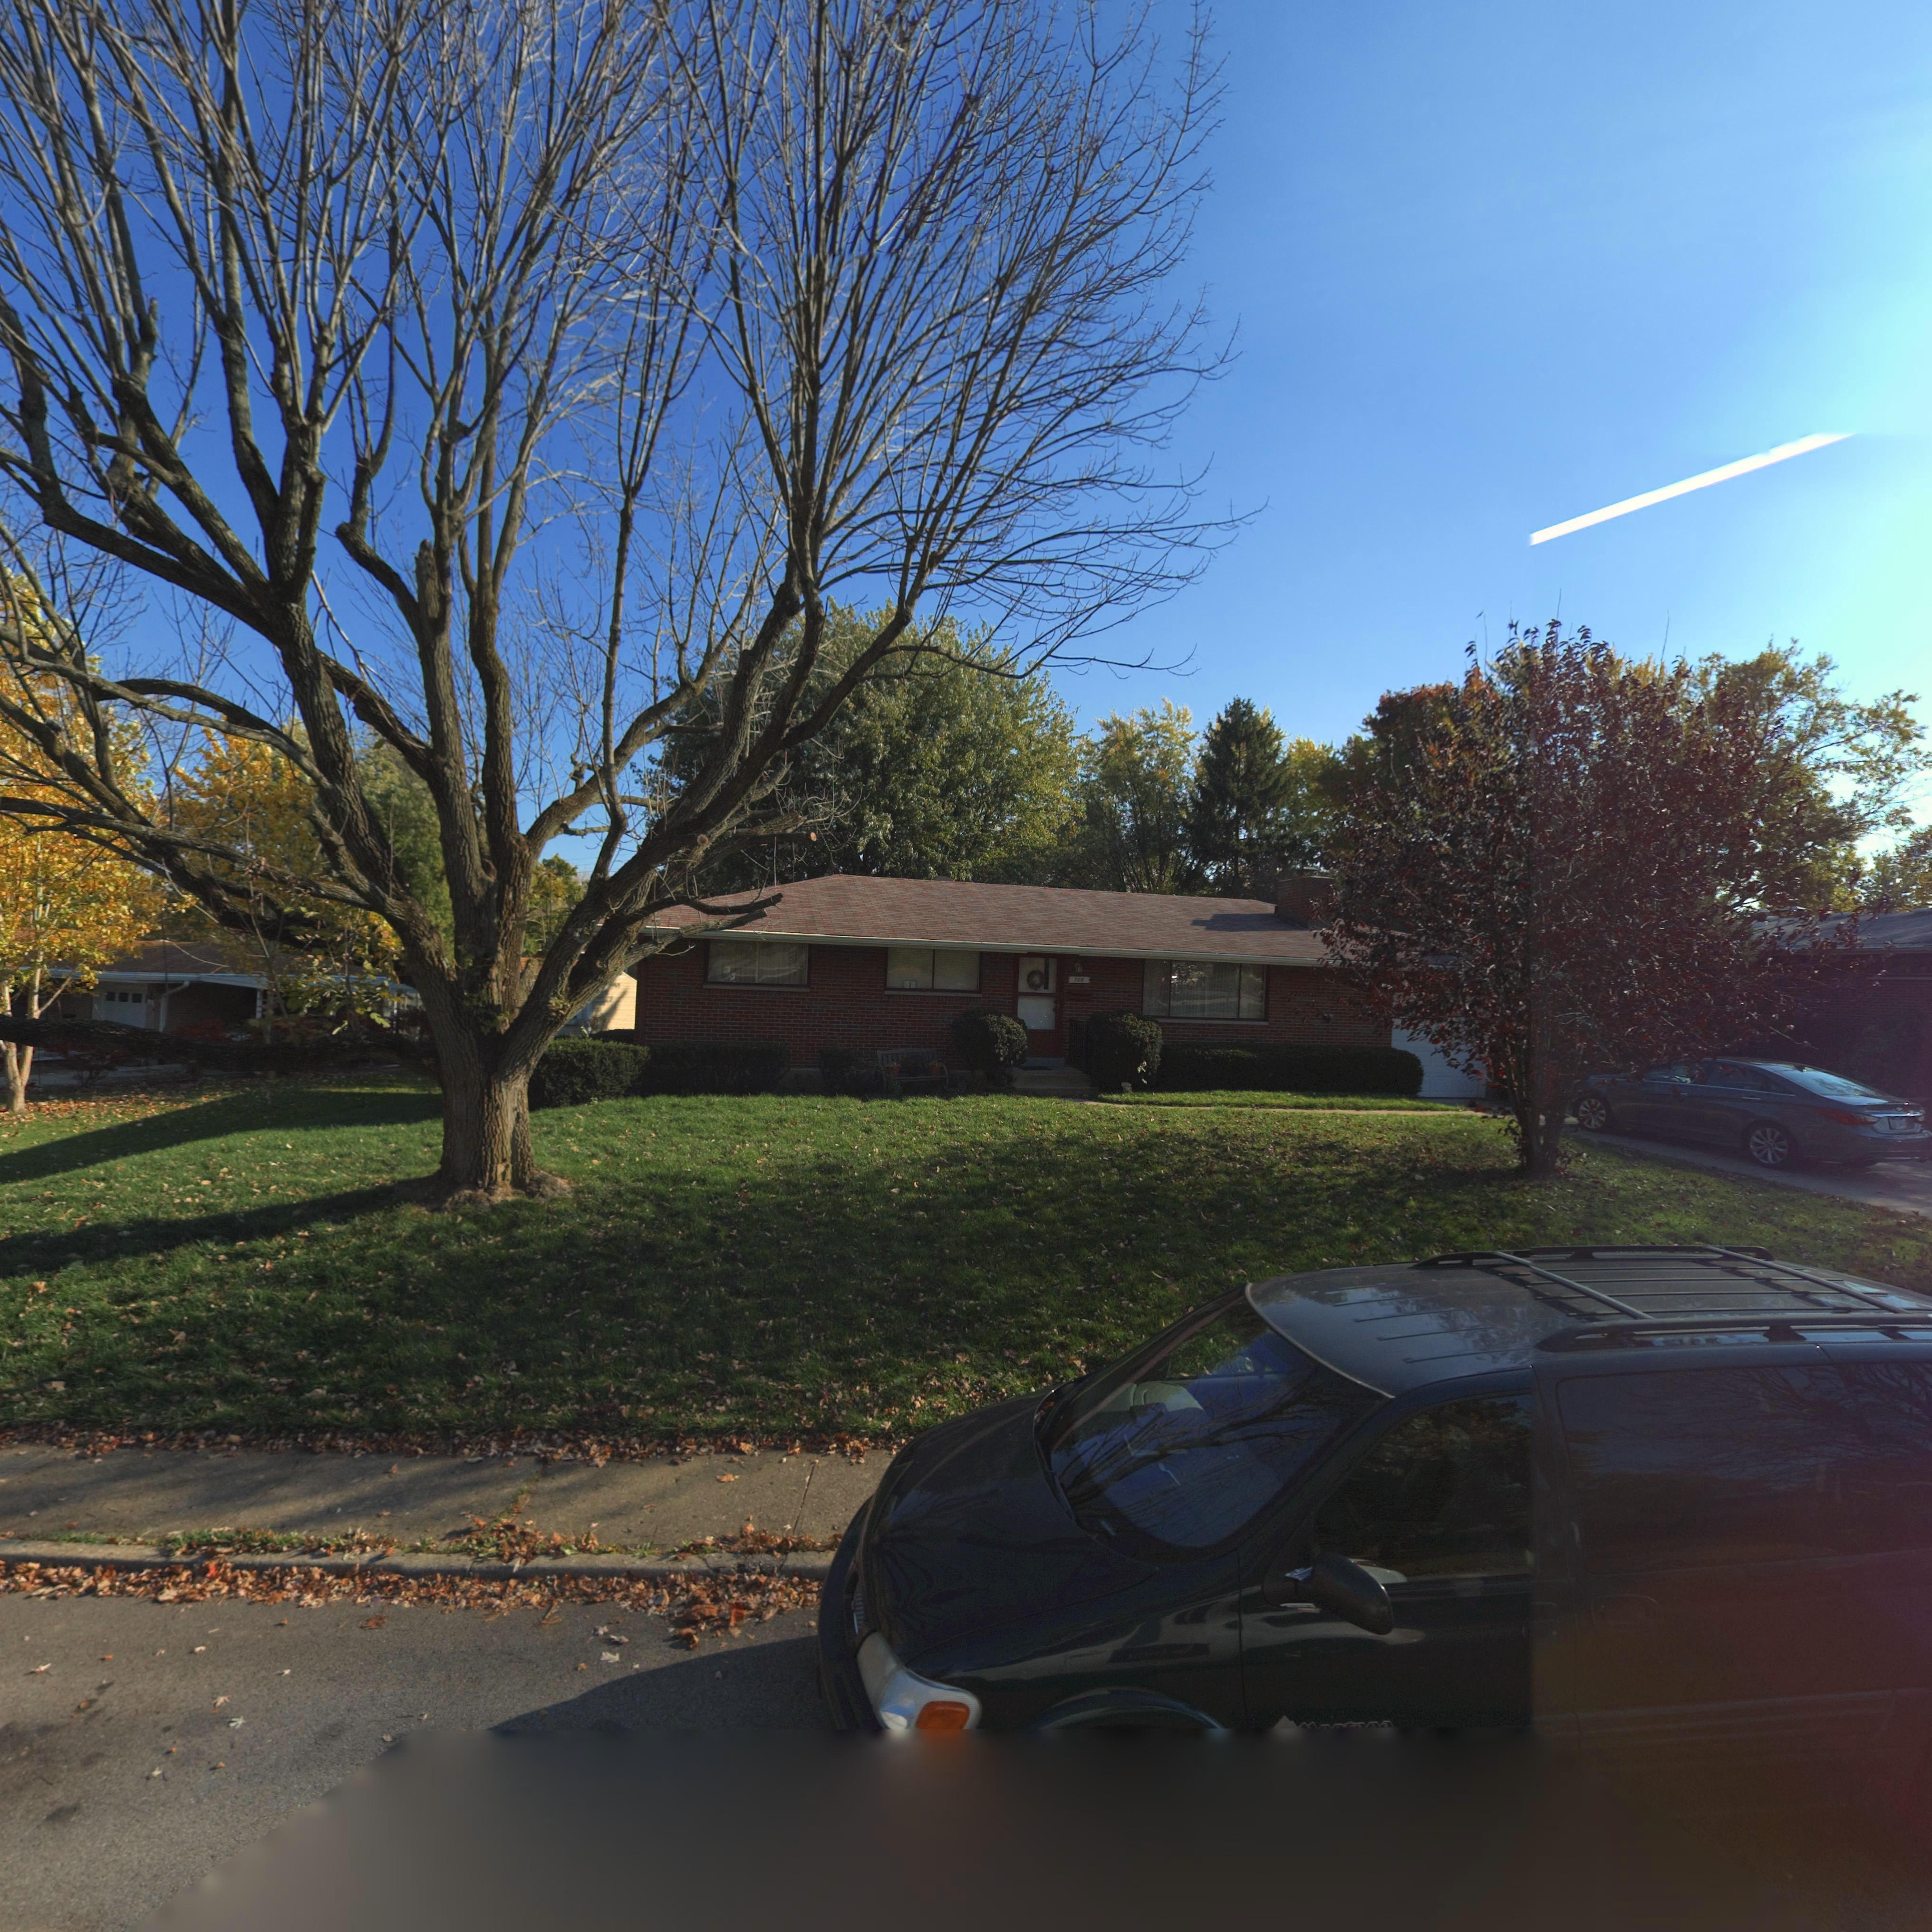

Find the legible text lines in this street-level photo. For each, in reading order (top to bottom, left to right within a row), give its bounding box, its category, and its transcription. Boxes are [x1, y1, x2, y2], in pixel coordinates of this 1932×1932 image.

[1073, 977, 1085, 983] StreetNumber: 708